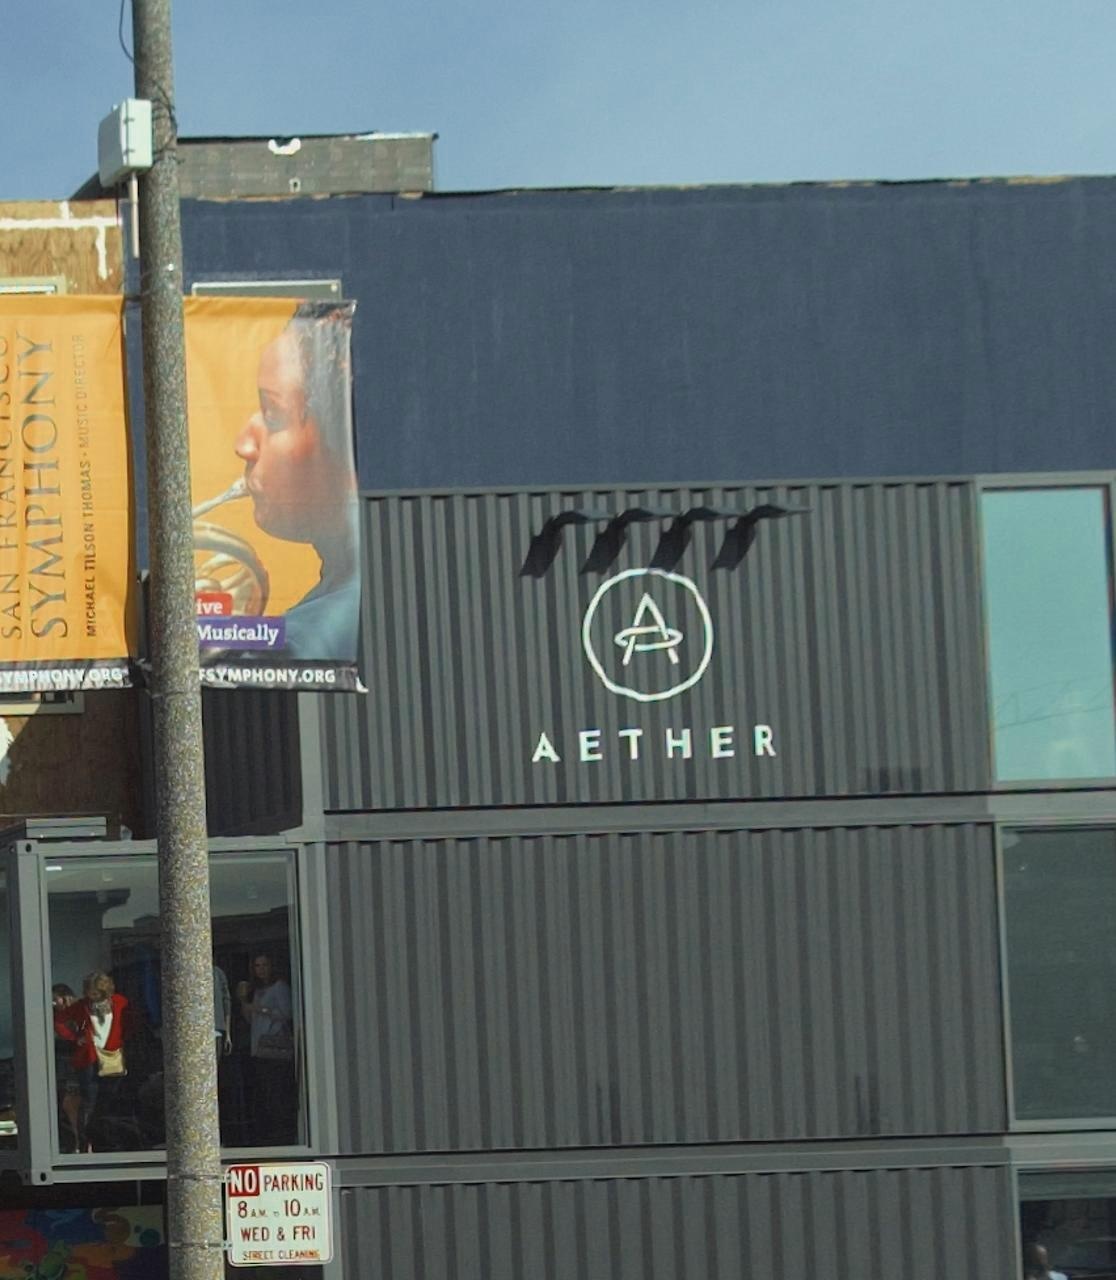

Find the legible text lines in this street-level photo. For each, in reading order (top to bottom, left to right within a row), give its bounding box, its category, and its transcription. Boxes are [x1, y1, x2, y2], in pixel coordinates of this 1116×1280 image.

[12, 325, 71, 640] None: SYMPHONY
[68, 330, 99, 639] None: MICHAEL TILSON THOMAS * MUSIC DIRECTOR
[0, 569, 26, 644] None: SAN
[194, 594, 227, 617] None: ive
[210, 620, 284, 649] None: usically
[0, 664, 126, 687] None: YMPHONY.ORG
[197, 665, 339, 685] None: FSMPHONY.ORG
[527, 722, 783, 765] BusinessName: AETHER
[228, 1167, 326, 1196] None: NO PARKING
[235, 1195, 325, 1222] None: 8 A.M. ** 10 A.M.
[236, 1222, 318, 1245] None: WED & FRI
[239, 1246, 297, 1265] None: STREET CLE